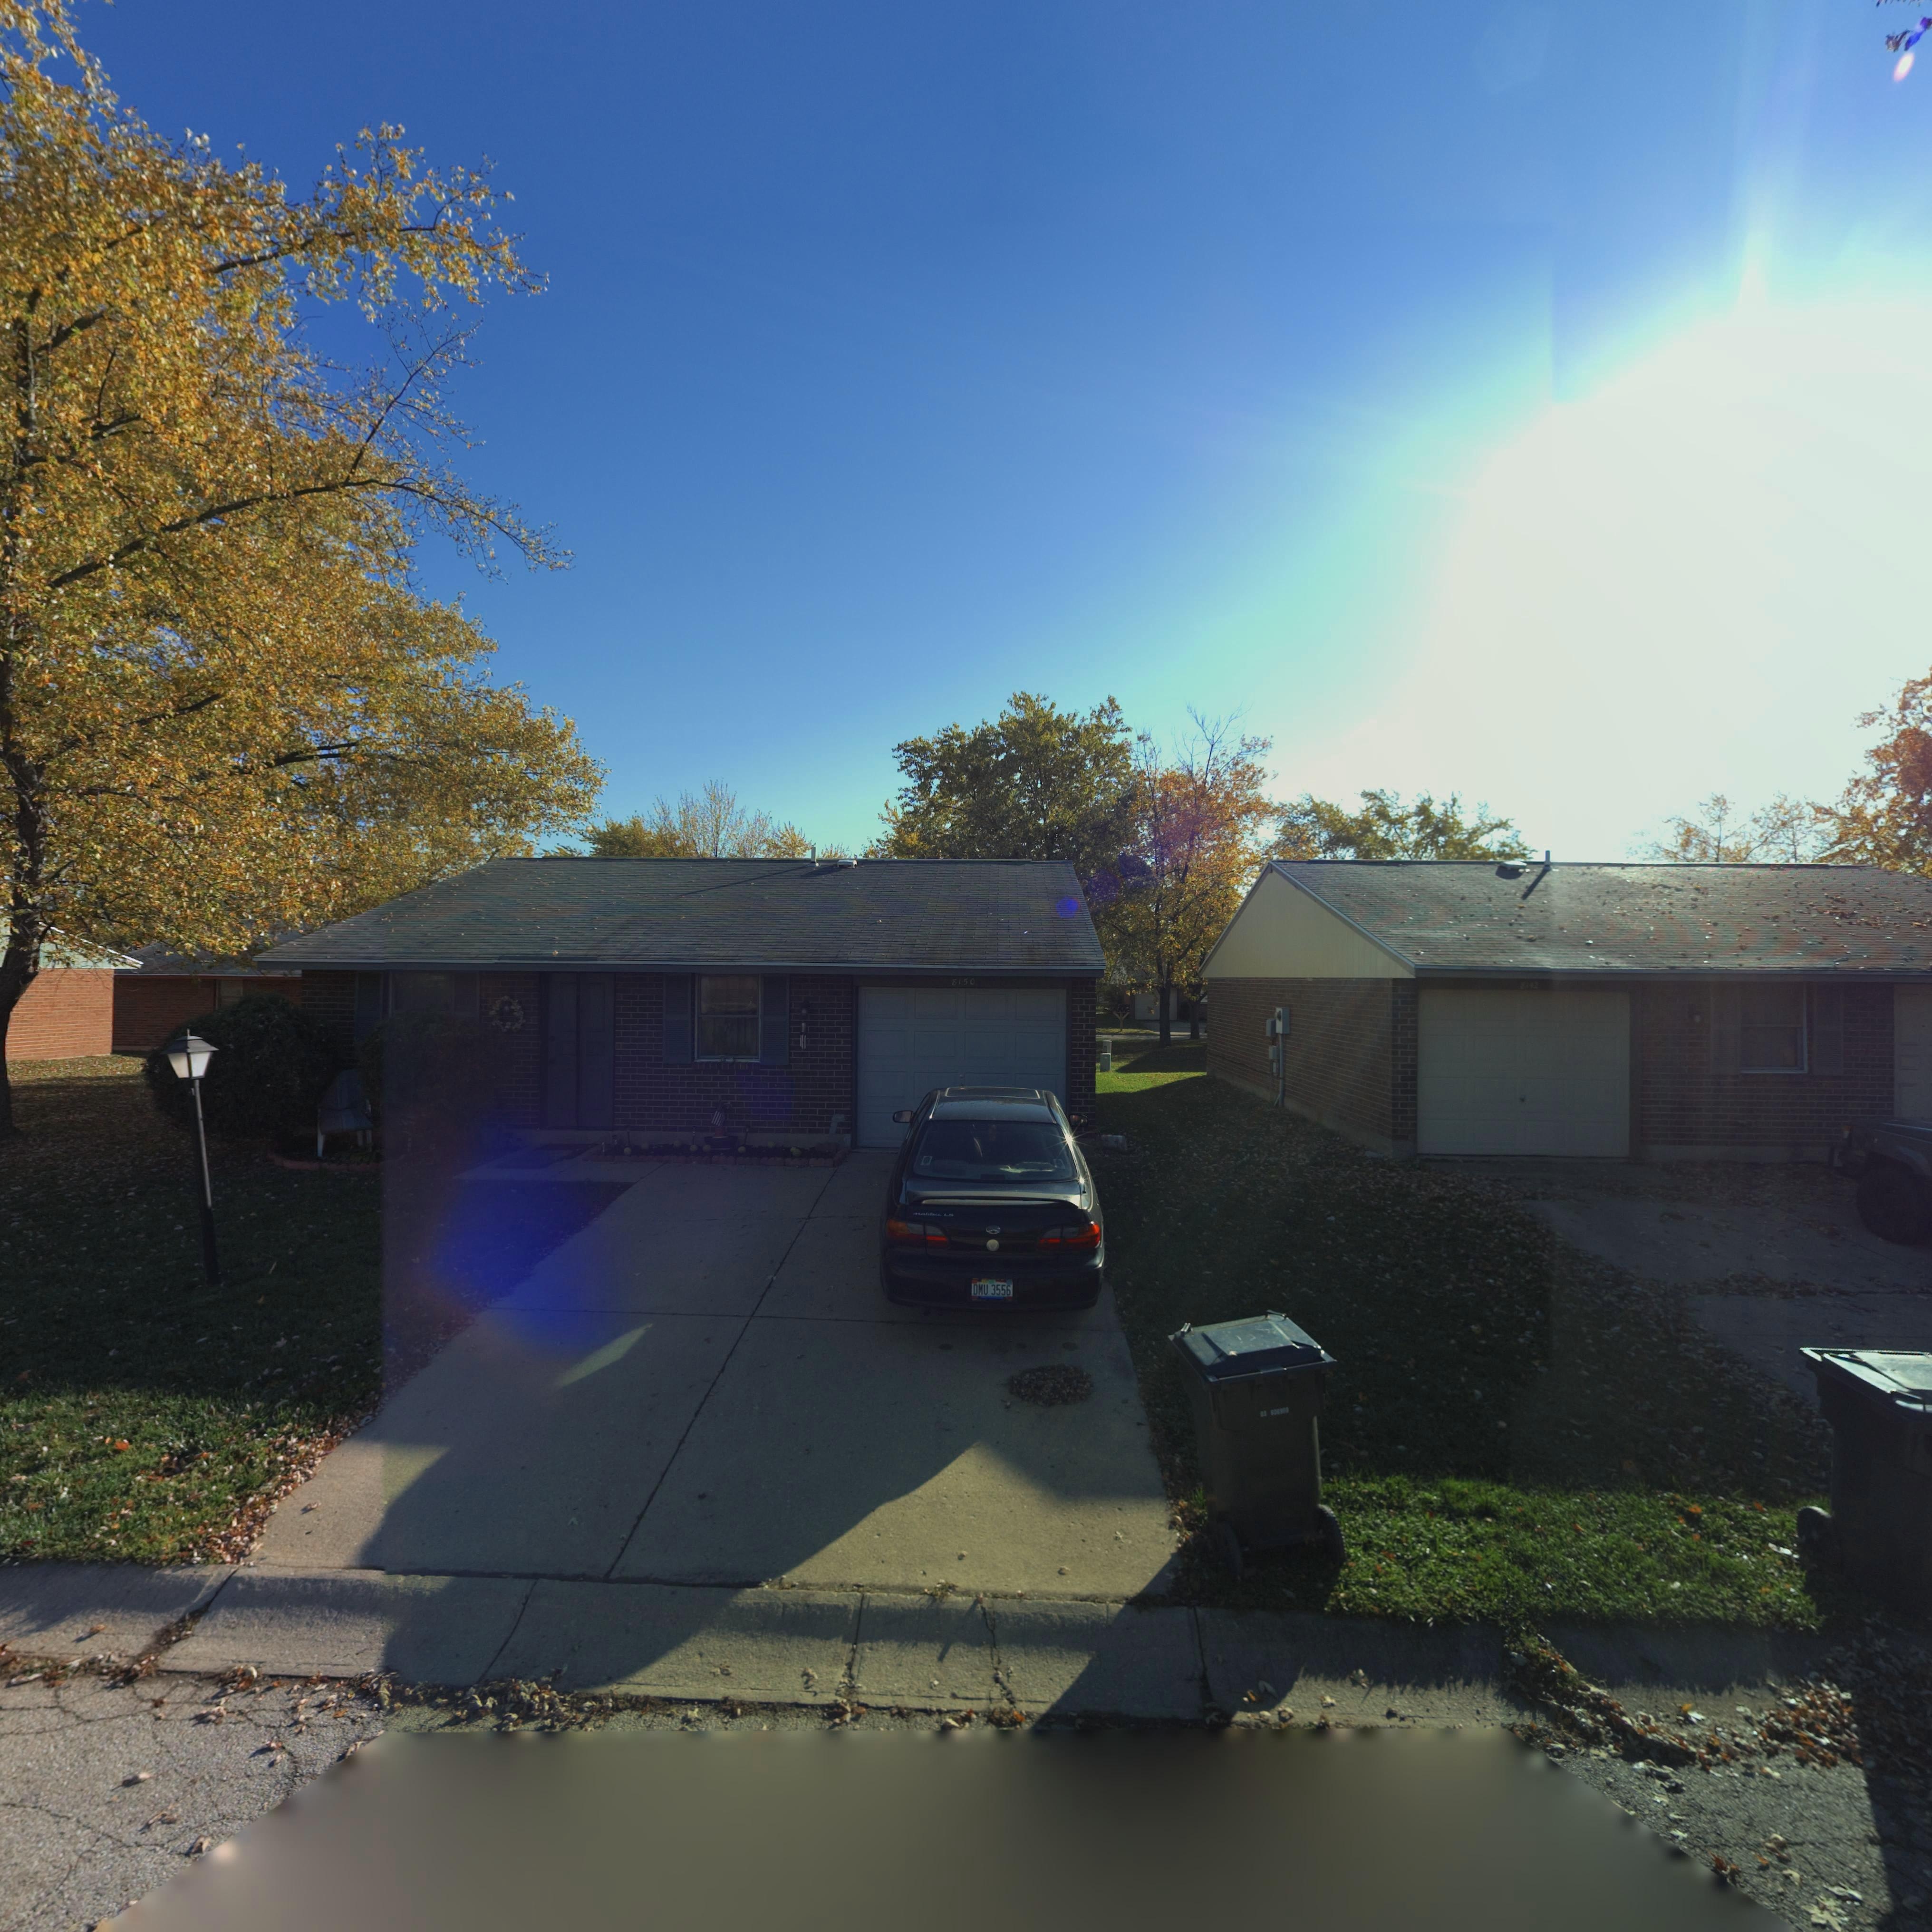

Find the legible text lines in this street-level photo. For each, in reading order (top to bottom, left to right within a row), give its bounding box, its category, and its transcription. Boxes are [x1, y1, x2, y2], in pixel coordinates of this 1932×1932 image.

[951, 977, 976, 987] StreetNumber: 8150